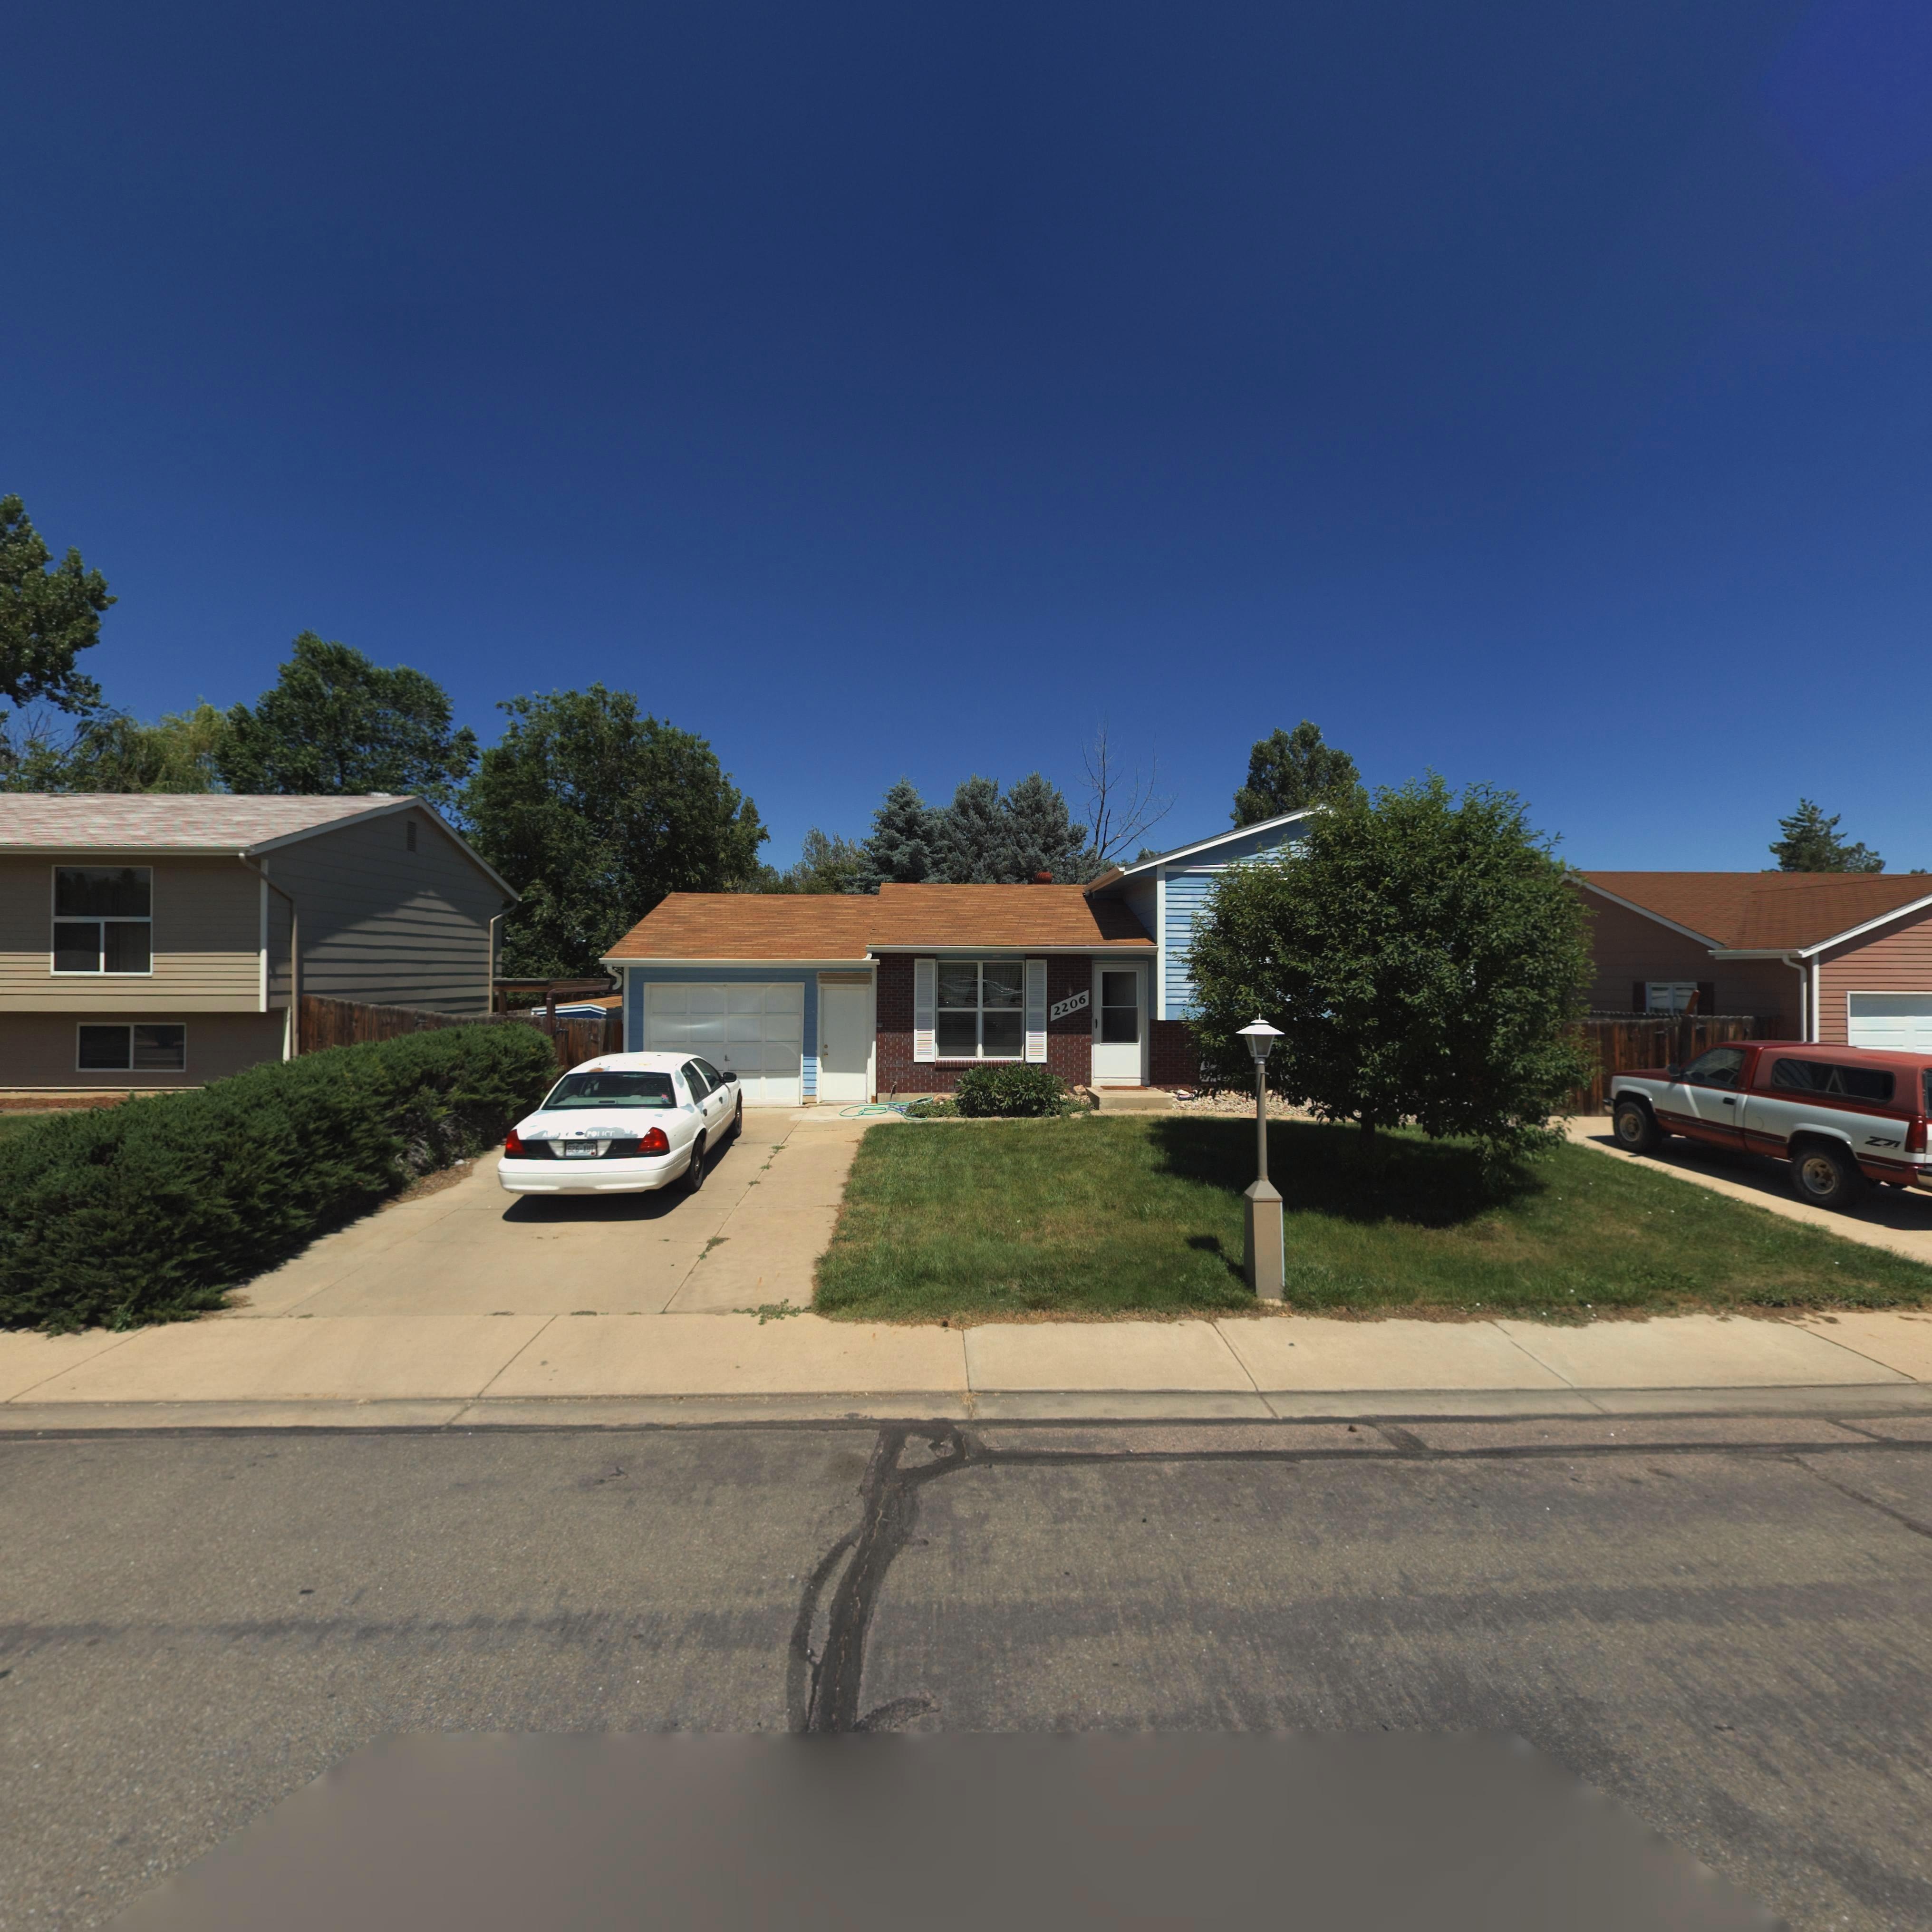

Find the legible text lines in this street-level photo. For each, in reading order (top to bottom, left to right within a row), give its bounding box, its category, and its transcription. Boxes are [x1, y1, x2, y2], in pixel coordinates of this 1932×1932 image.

[1053, 995, 1086, 1015] StreetNumber: 2206